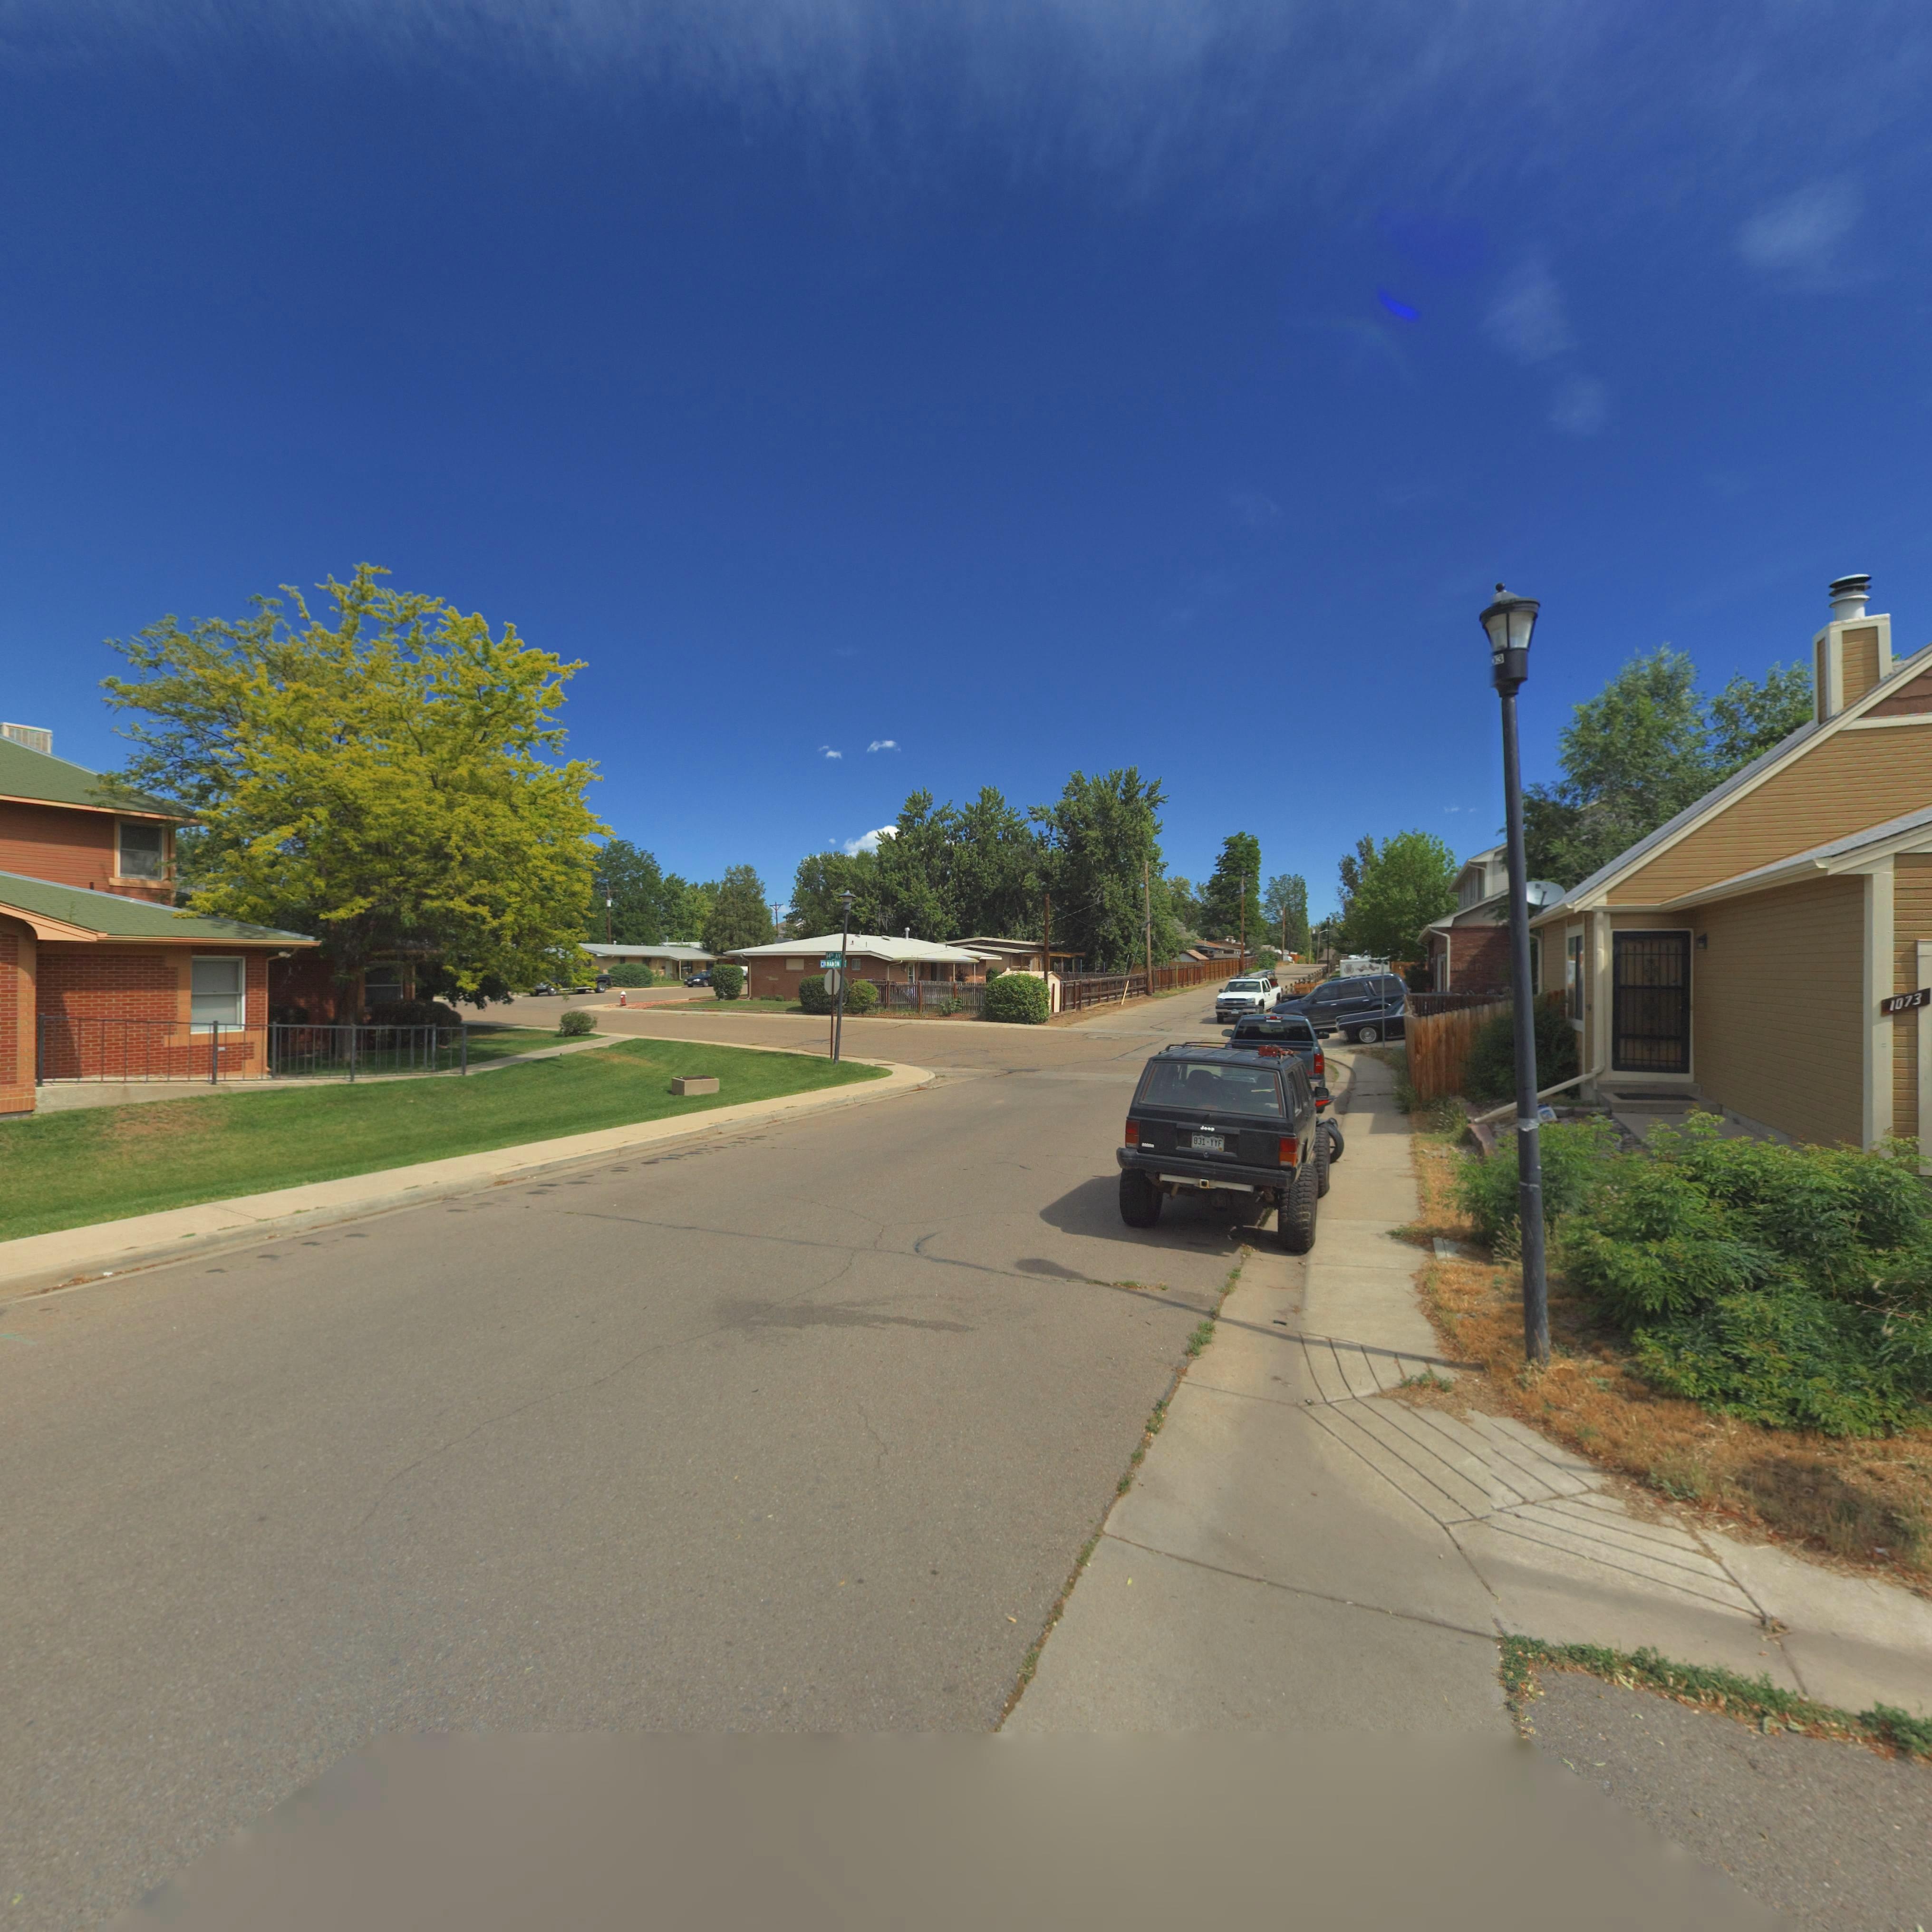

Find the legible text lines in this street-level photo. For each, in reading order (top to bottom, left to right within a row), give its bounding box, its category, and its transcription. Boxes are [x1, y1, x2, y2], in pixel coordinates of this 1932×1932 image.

[826, 952, 841, 959] StreetName: 14** AV
[820, 960, 846, 966] StreetName: CI*NA*ON **
[1889, 992, 1922, 1011] StreetNumber: 1073